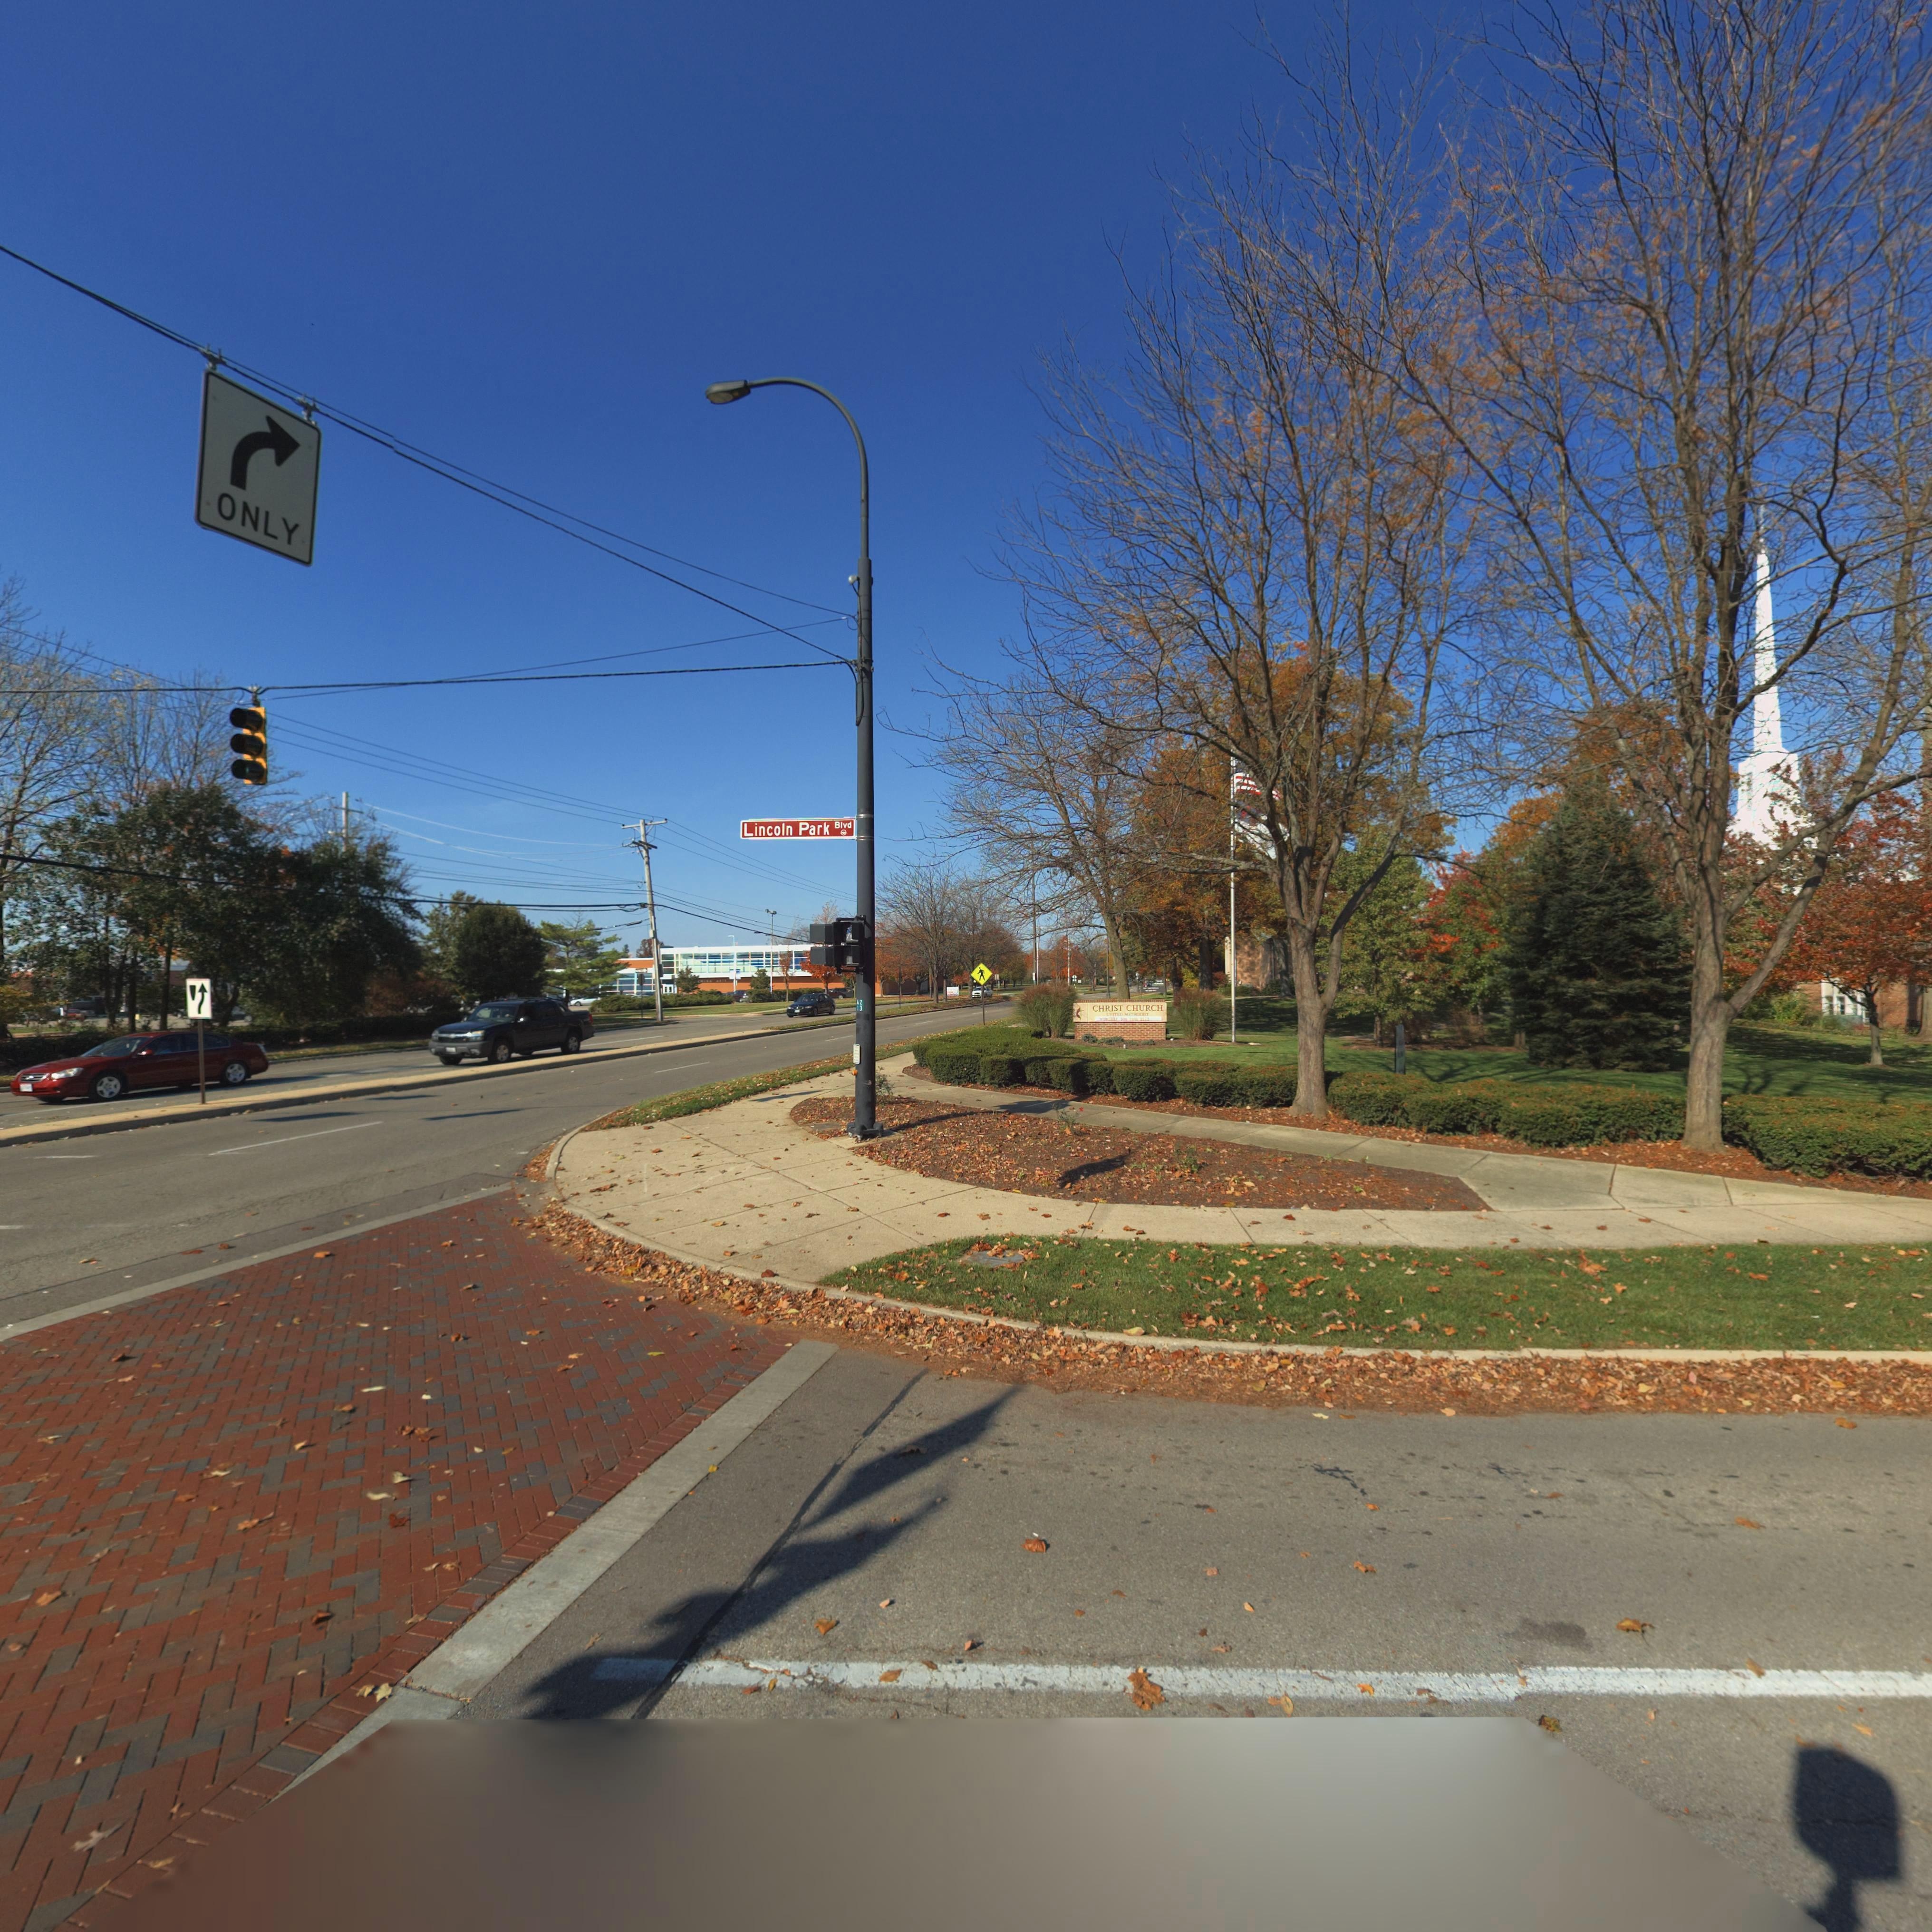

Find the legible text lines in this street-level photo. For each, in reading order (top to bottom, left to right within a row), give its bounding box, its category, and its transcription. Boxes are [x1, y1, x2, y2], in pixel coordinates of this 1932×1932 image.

[215, 486, 303, 547] None: ONLY
[743, 821, 852, 837] StreetName: Lincoln Park Blvd
[1092, 1005, 1163, 1012] BusinessName: CHRIST CHURCH